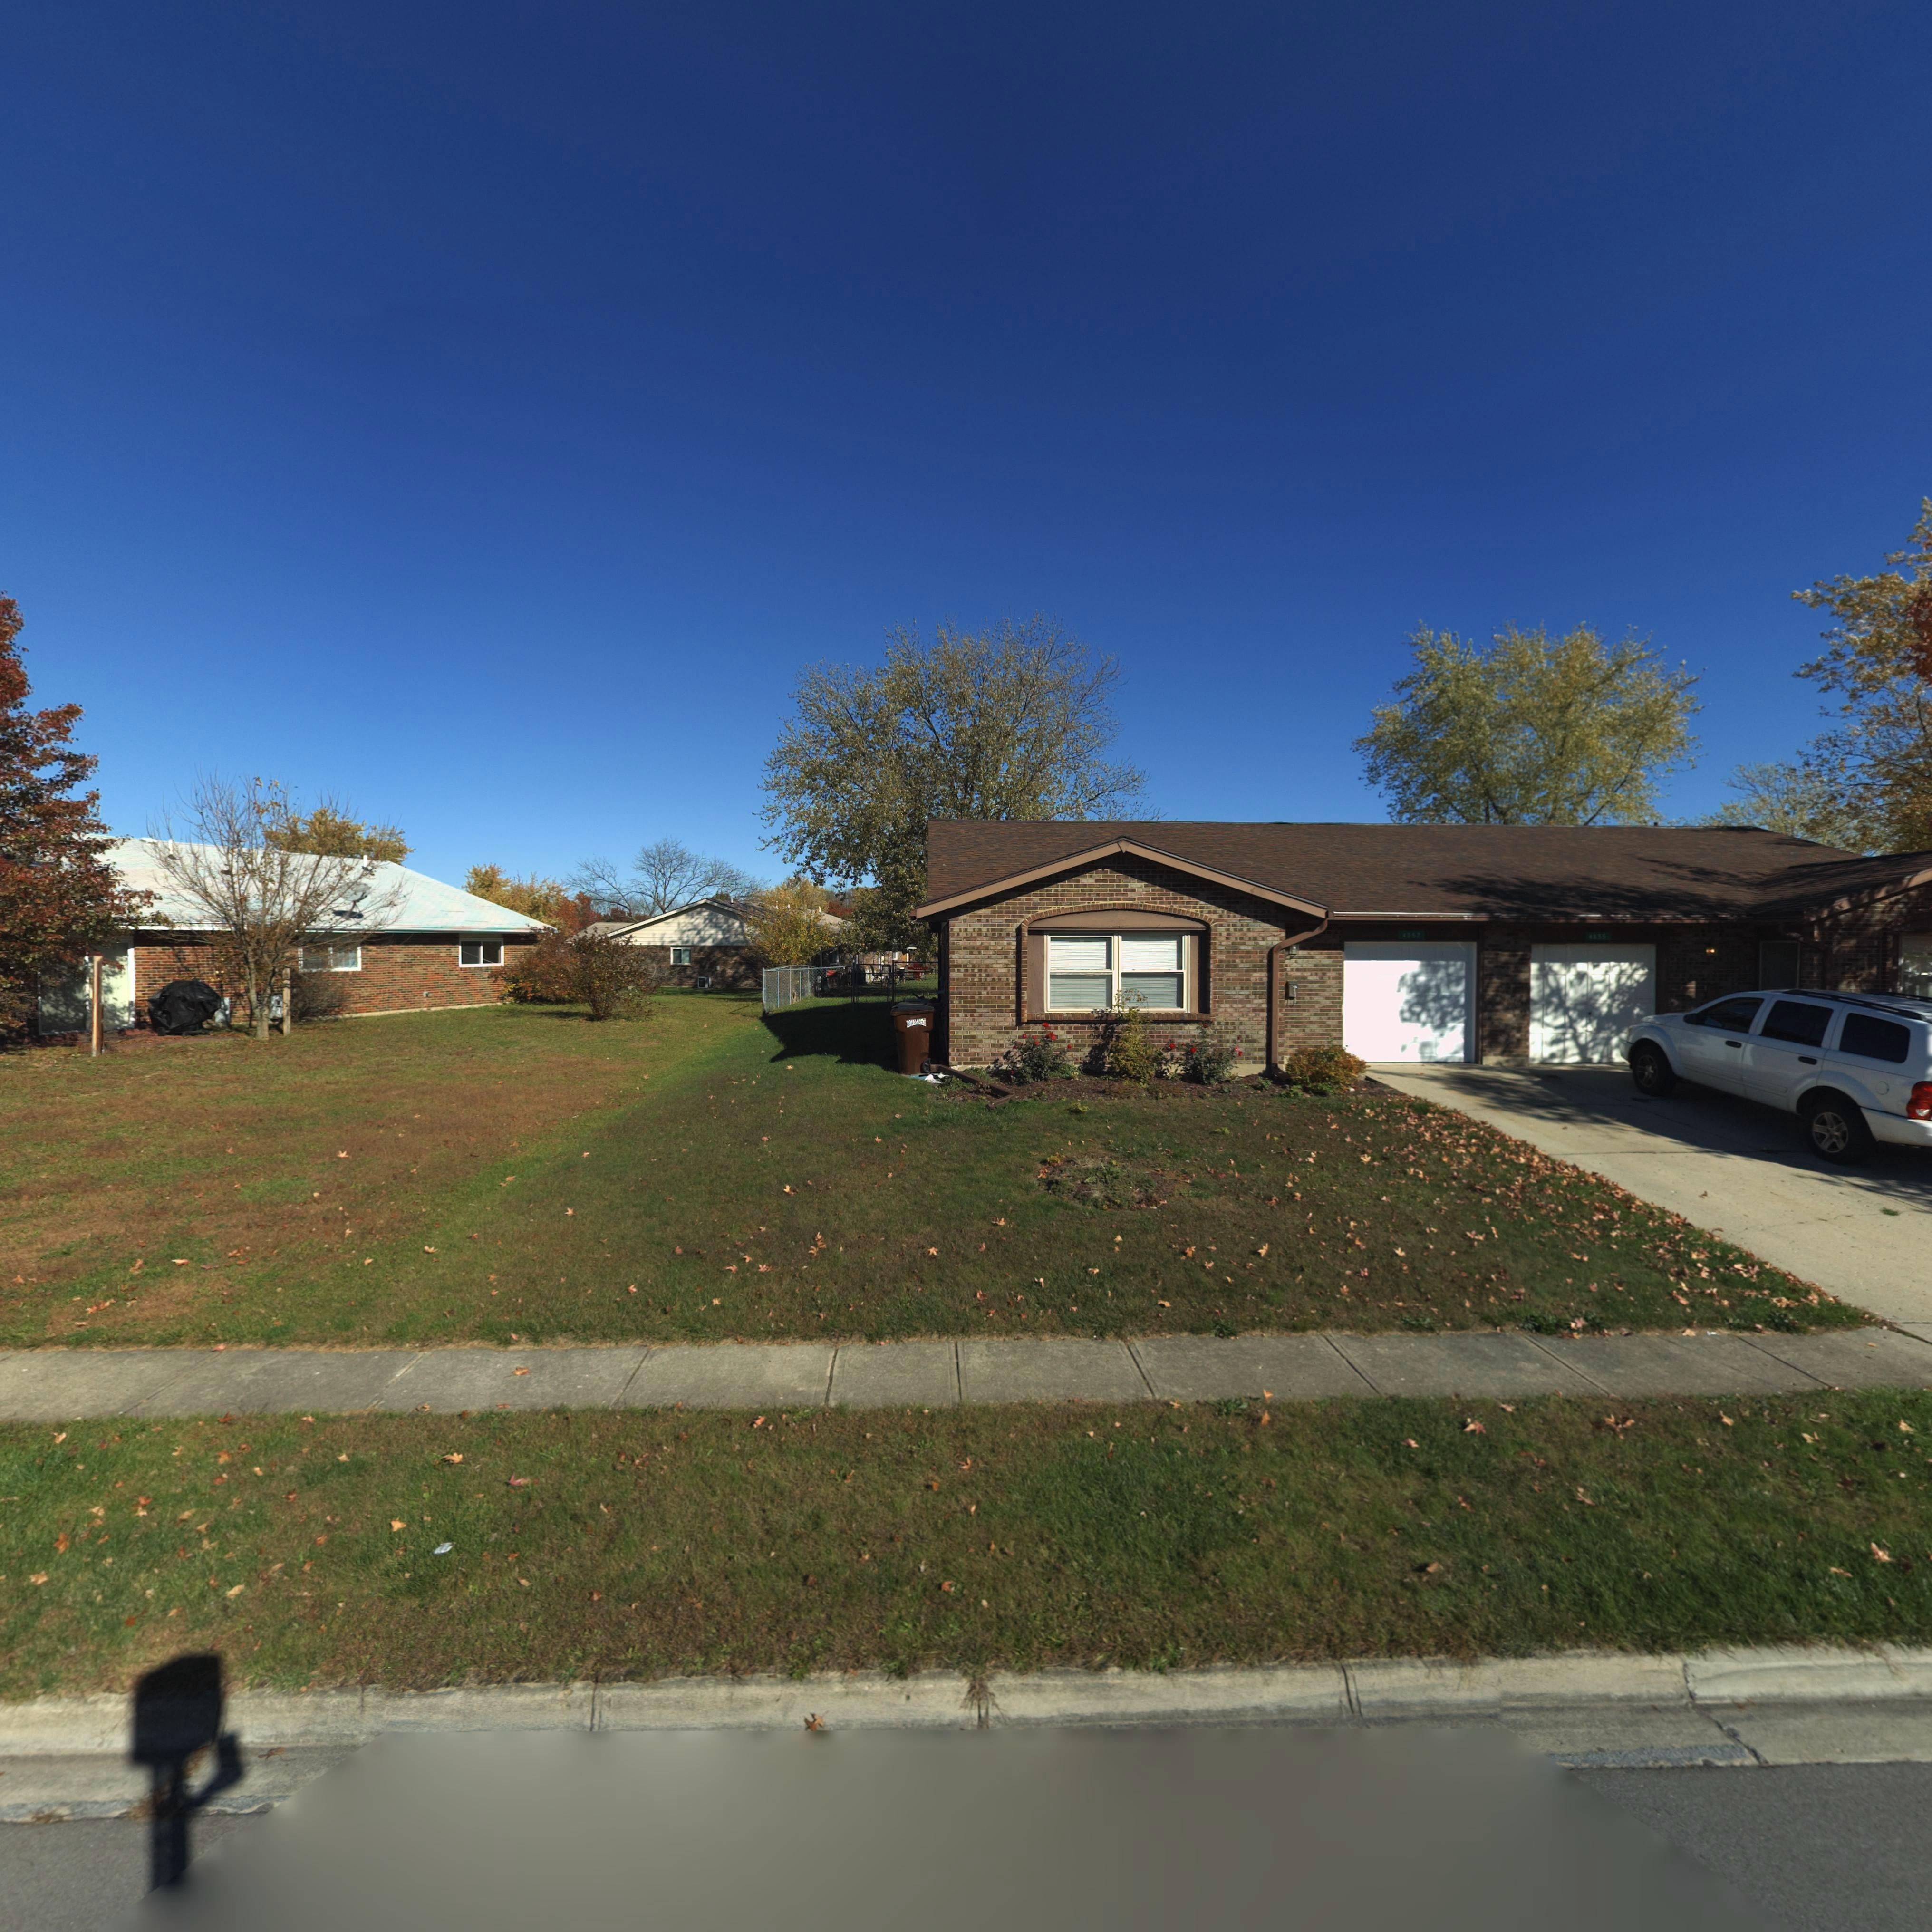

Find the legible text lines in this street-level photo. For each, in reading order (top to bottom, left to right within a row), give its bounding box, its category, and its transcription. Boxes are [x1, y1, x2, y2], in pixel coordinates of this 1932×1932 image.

[1402, 931, 1421, 938] StreetNumber: 4357
[1588, 933, 1606, 940] StreetNumber: 4355